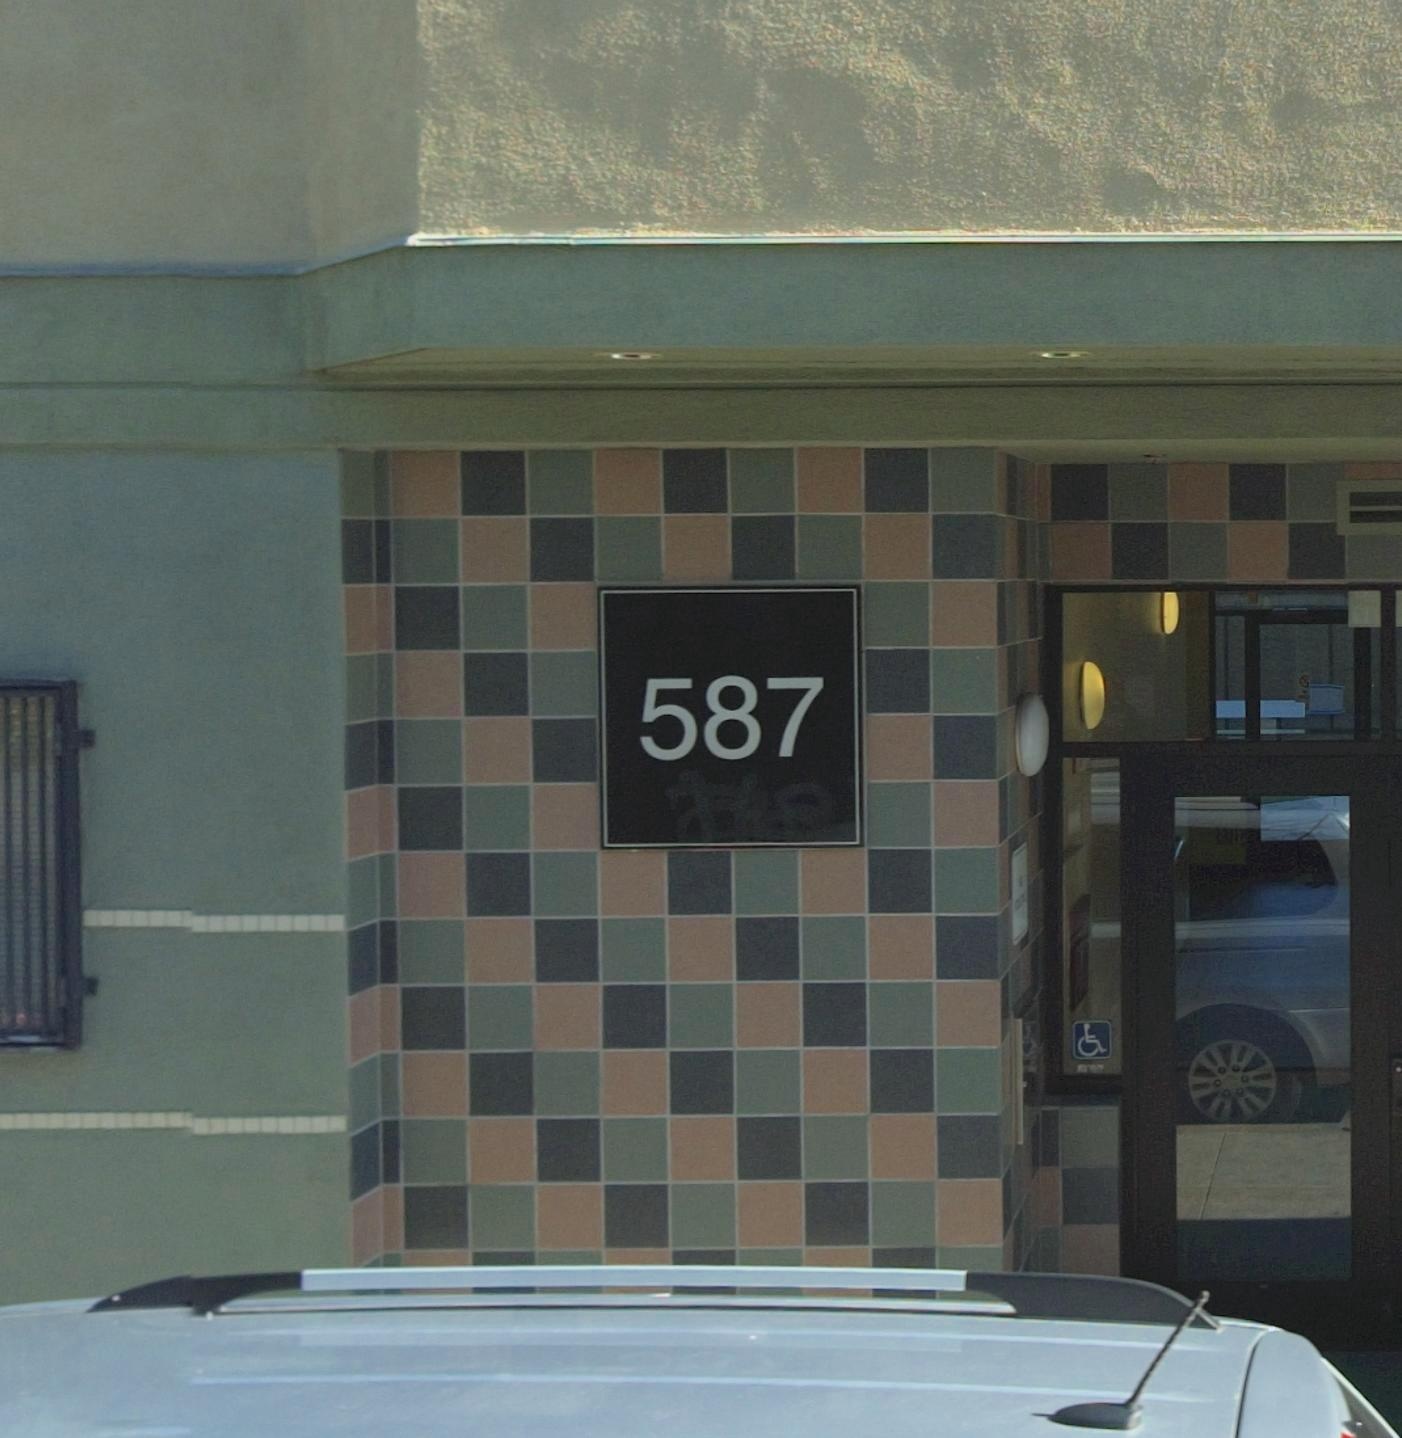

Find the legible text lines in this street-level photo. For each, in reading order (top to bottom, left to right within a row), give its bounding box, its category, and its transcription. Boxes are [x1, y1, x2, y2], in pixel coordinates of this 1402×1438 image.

[637, 673, 827, 764] StreetNumber: 587